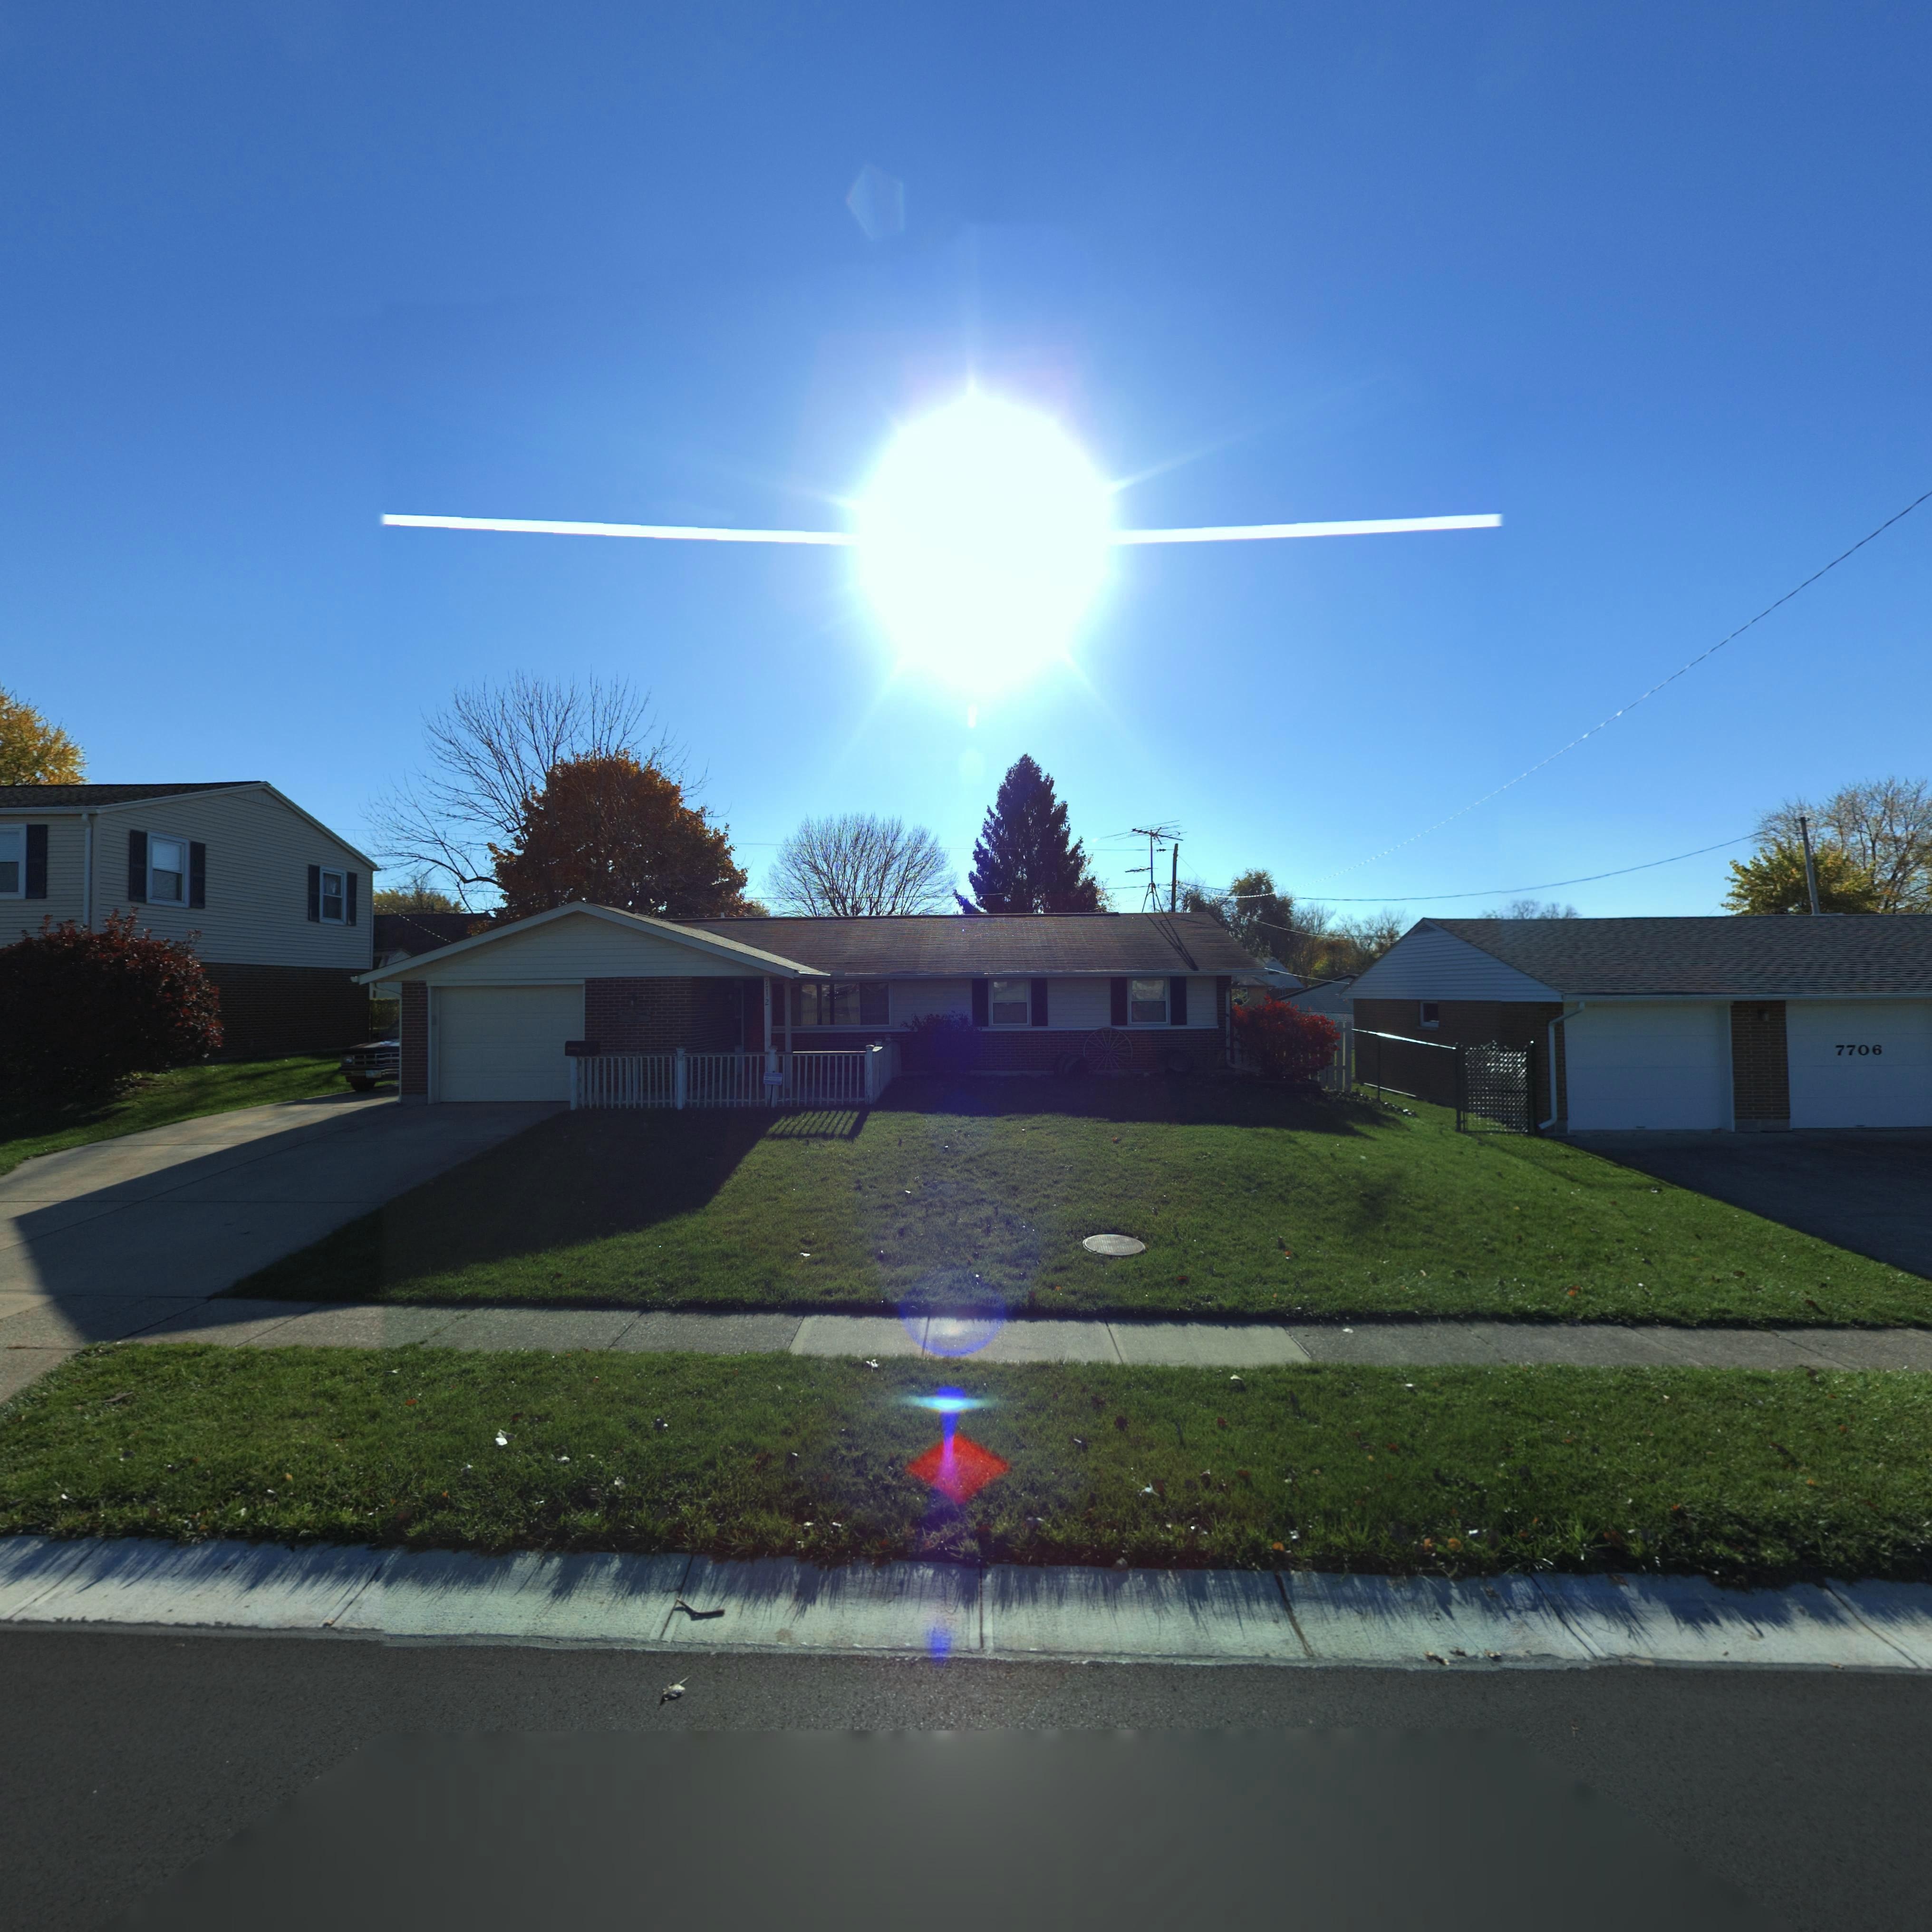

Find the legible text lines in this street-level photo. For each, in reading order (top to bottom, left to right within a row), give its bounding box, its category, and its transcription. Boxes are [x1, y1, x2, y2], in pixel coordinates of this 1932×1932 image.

[764, 978, 770, 1007] StreetNumber: 7712
[1834, 1043, 1884, 1057] StreetNumber: 7706